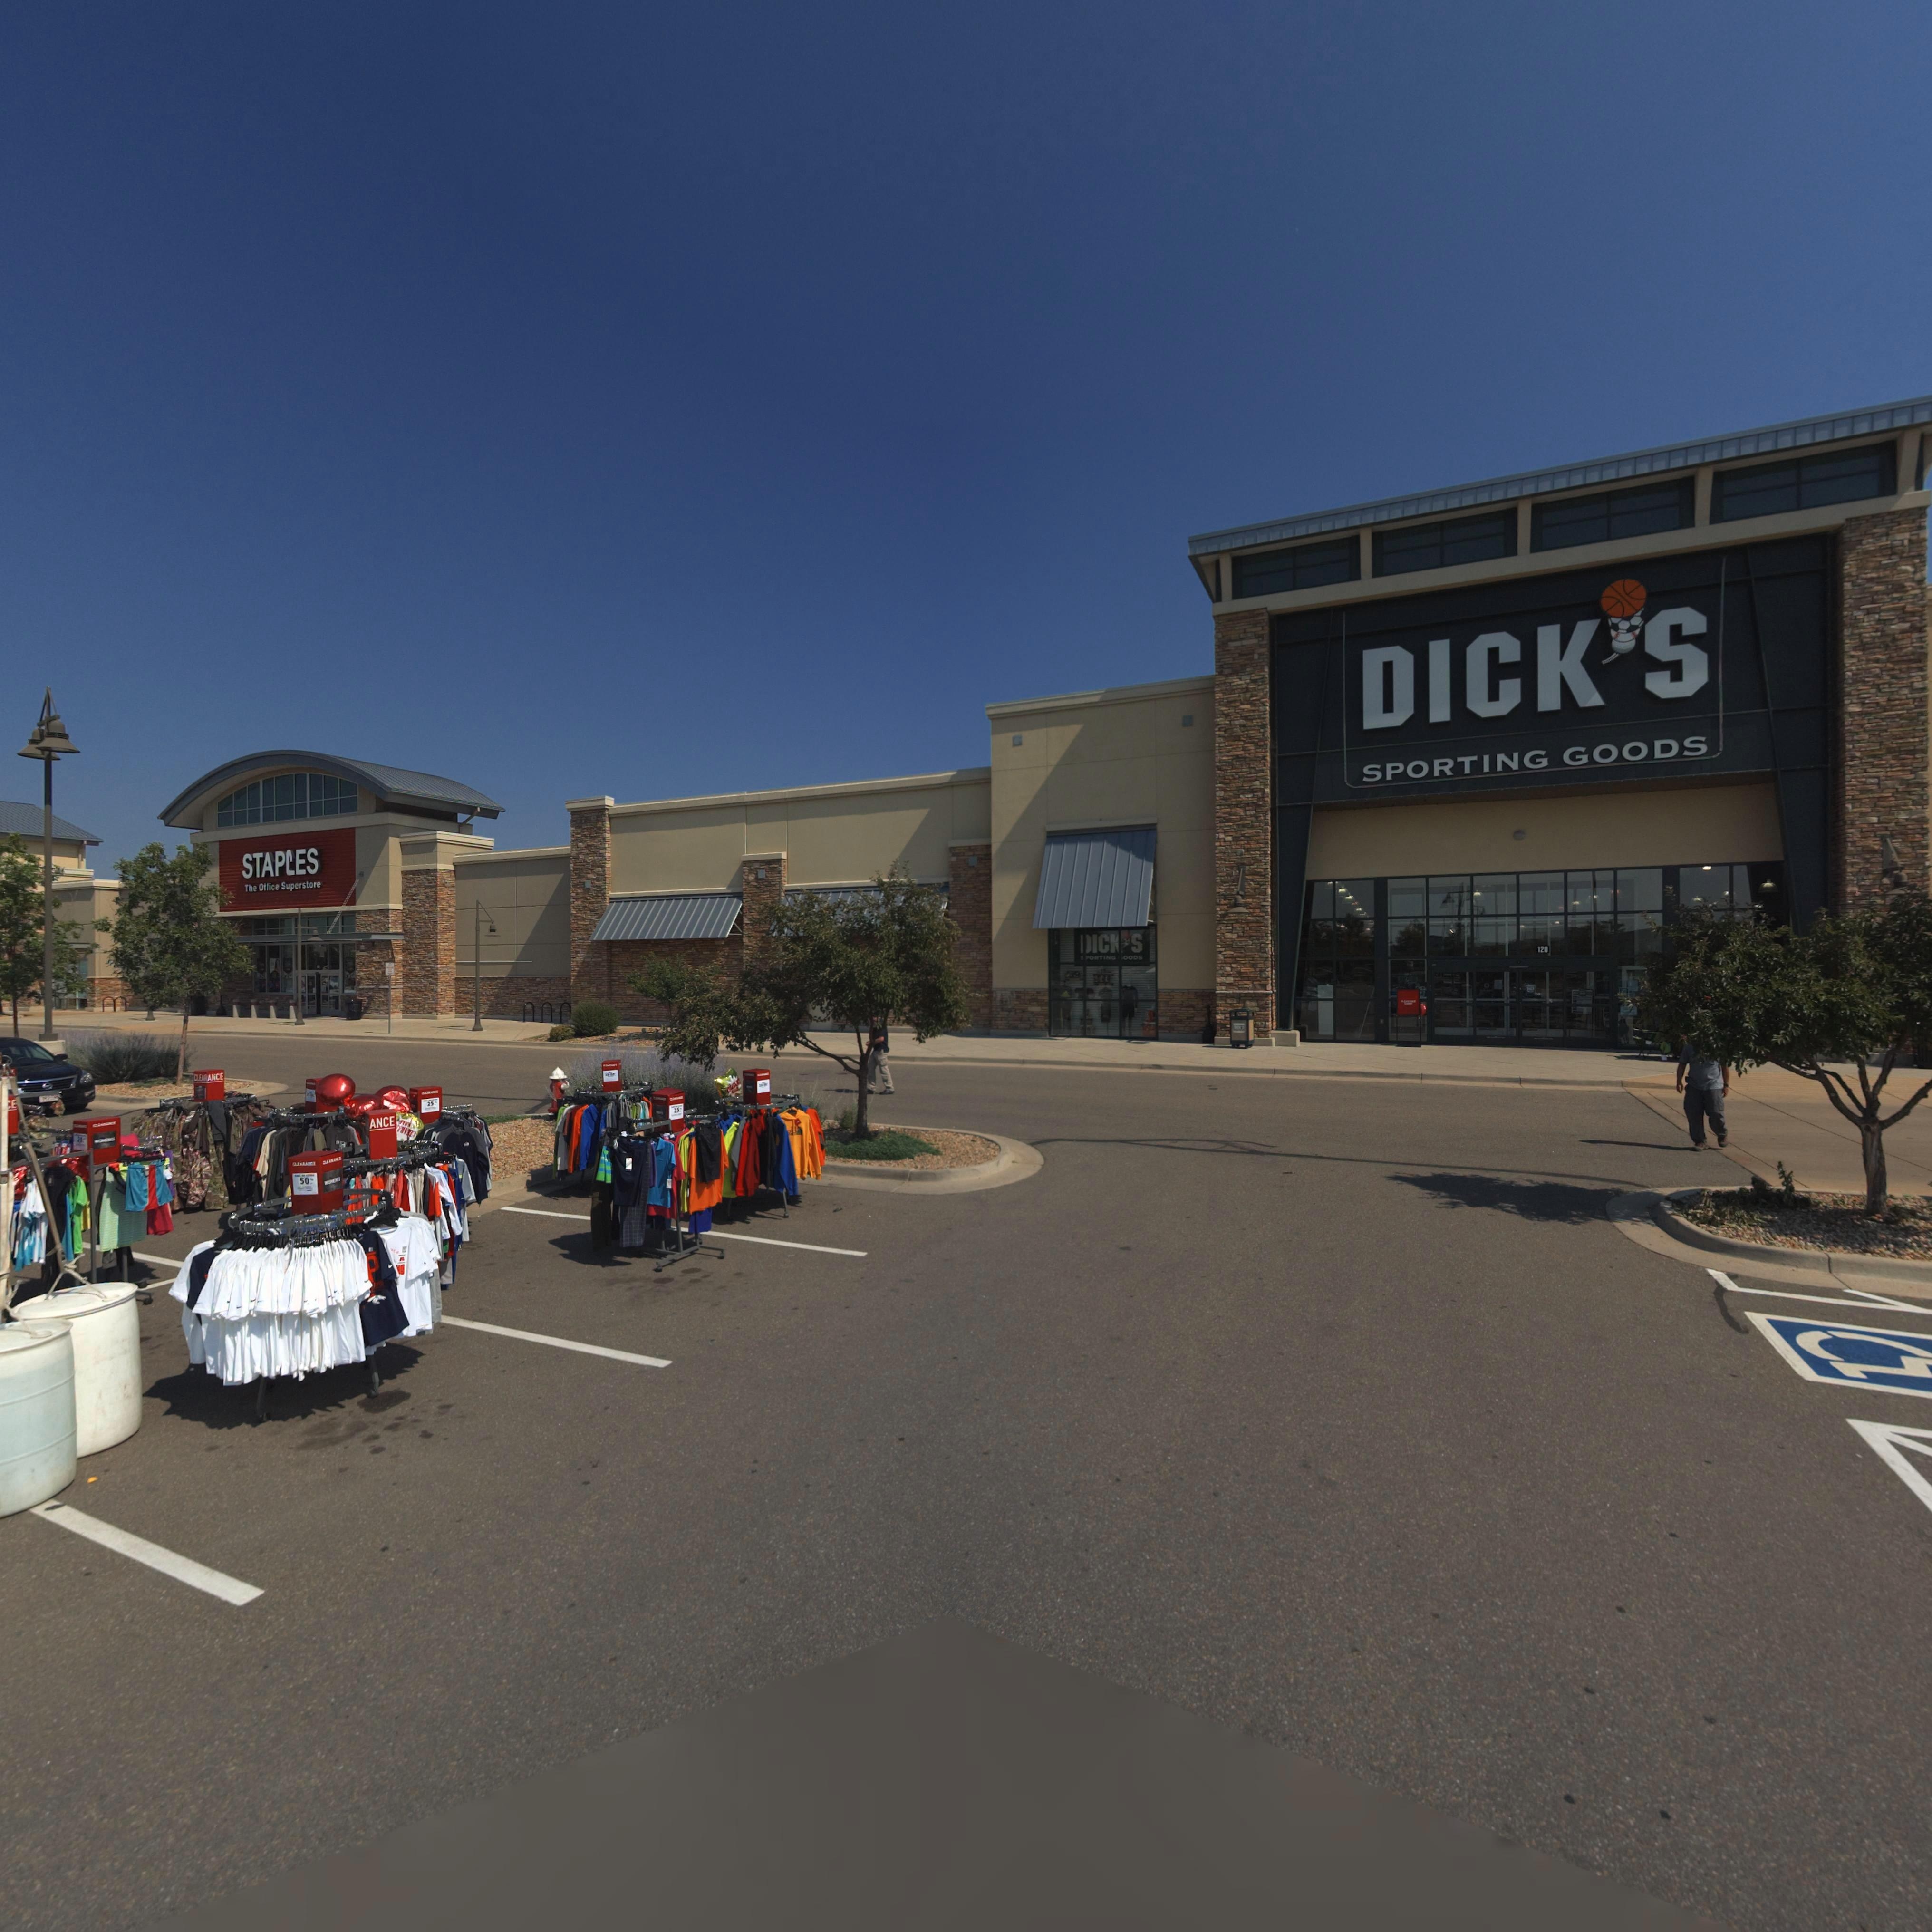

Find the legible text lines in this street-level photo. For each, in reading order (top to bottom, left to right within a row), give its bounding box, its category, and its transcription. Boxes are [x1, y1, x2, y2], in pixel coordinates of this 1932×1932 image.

[1362, 605, 1709, 731] BusinessName: DICK*S
[1080, 934, 1142, 953] None: *IC**S
[1537, 946, 1547, 952] StreetNumber: 120